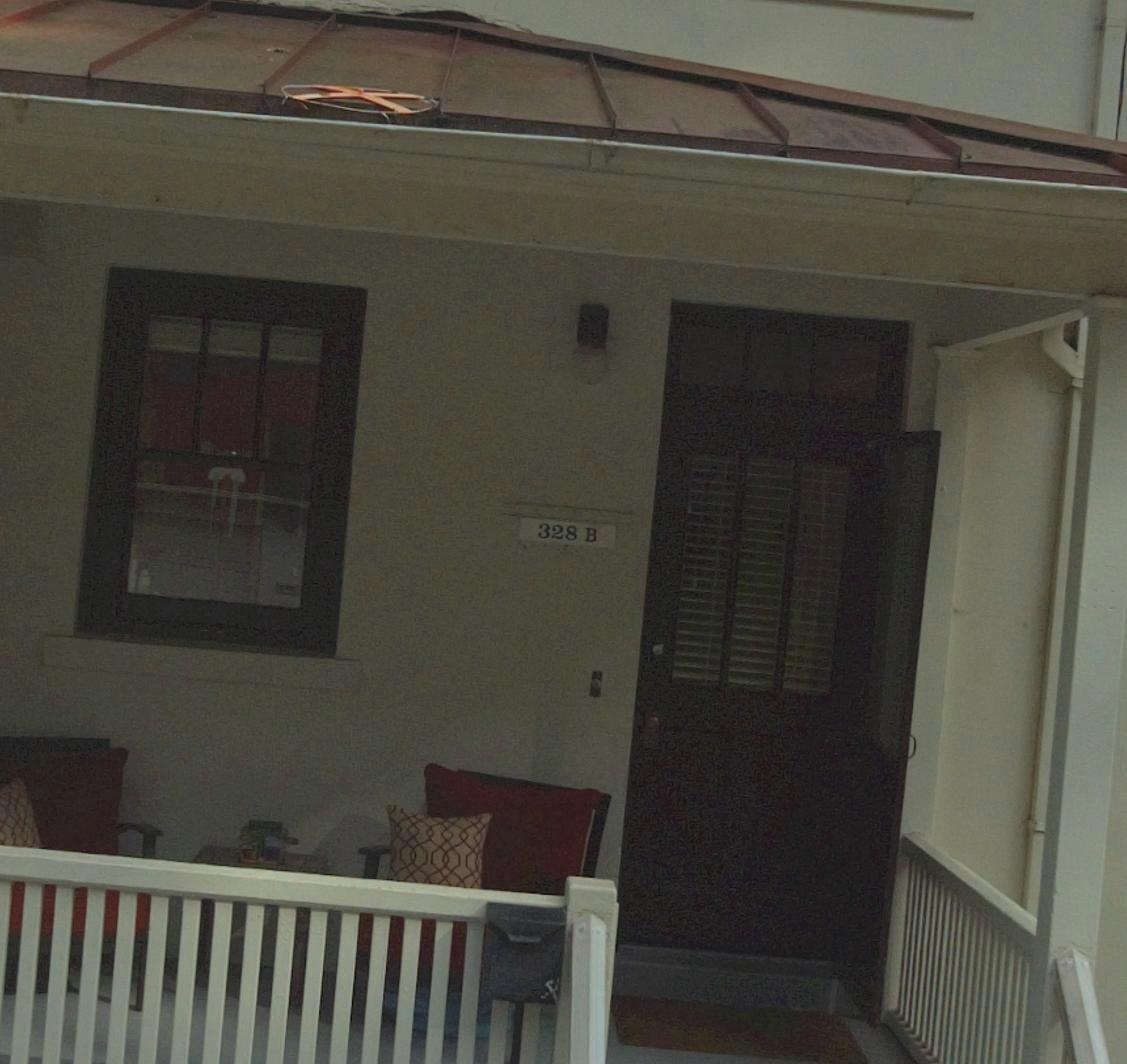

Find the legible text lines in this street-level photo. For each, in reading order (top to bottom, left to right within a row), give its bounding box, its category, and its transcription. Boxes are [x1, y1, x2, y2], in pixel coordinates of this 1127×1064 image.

[536, 522, 599, 545] StreetNumber: 328B